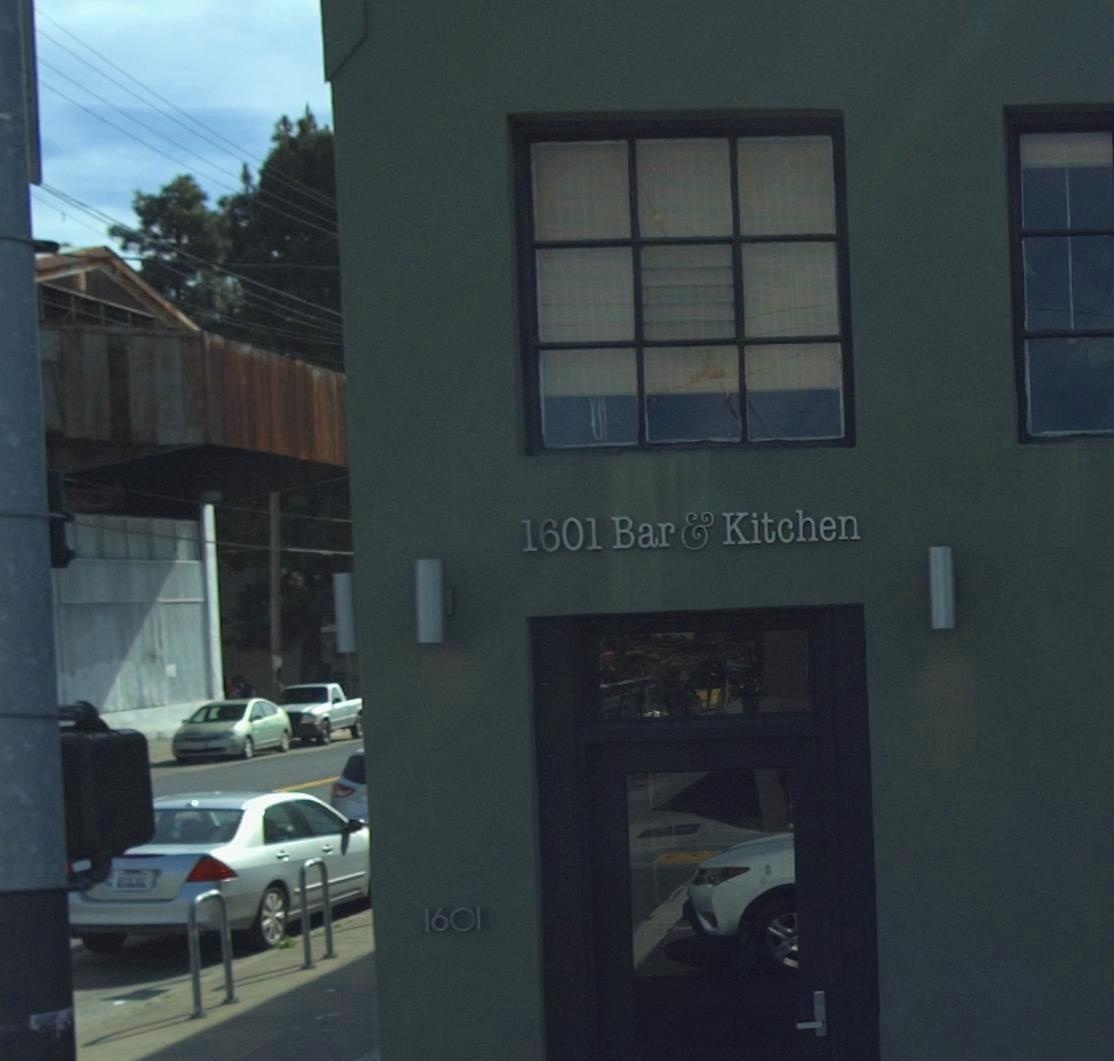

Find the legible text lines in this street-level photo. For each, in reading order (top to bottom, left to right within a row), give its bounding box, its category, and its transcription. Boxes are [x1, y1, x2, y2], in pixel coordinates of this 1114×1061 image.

[515, 511, 607, 558] StreetNumber: 1601
[604, 503, 864, 556] BusinessName: Bar&Kitchen
[418, 900, 490, 938] StreetNumber: 1601